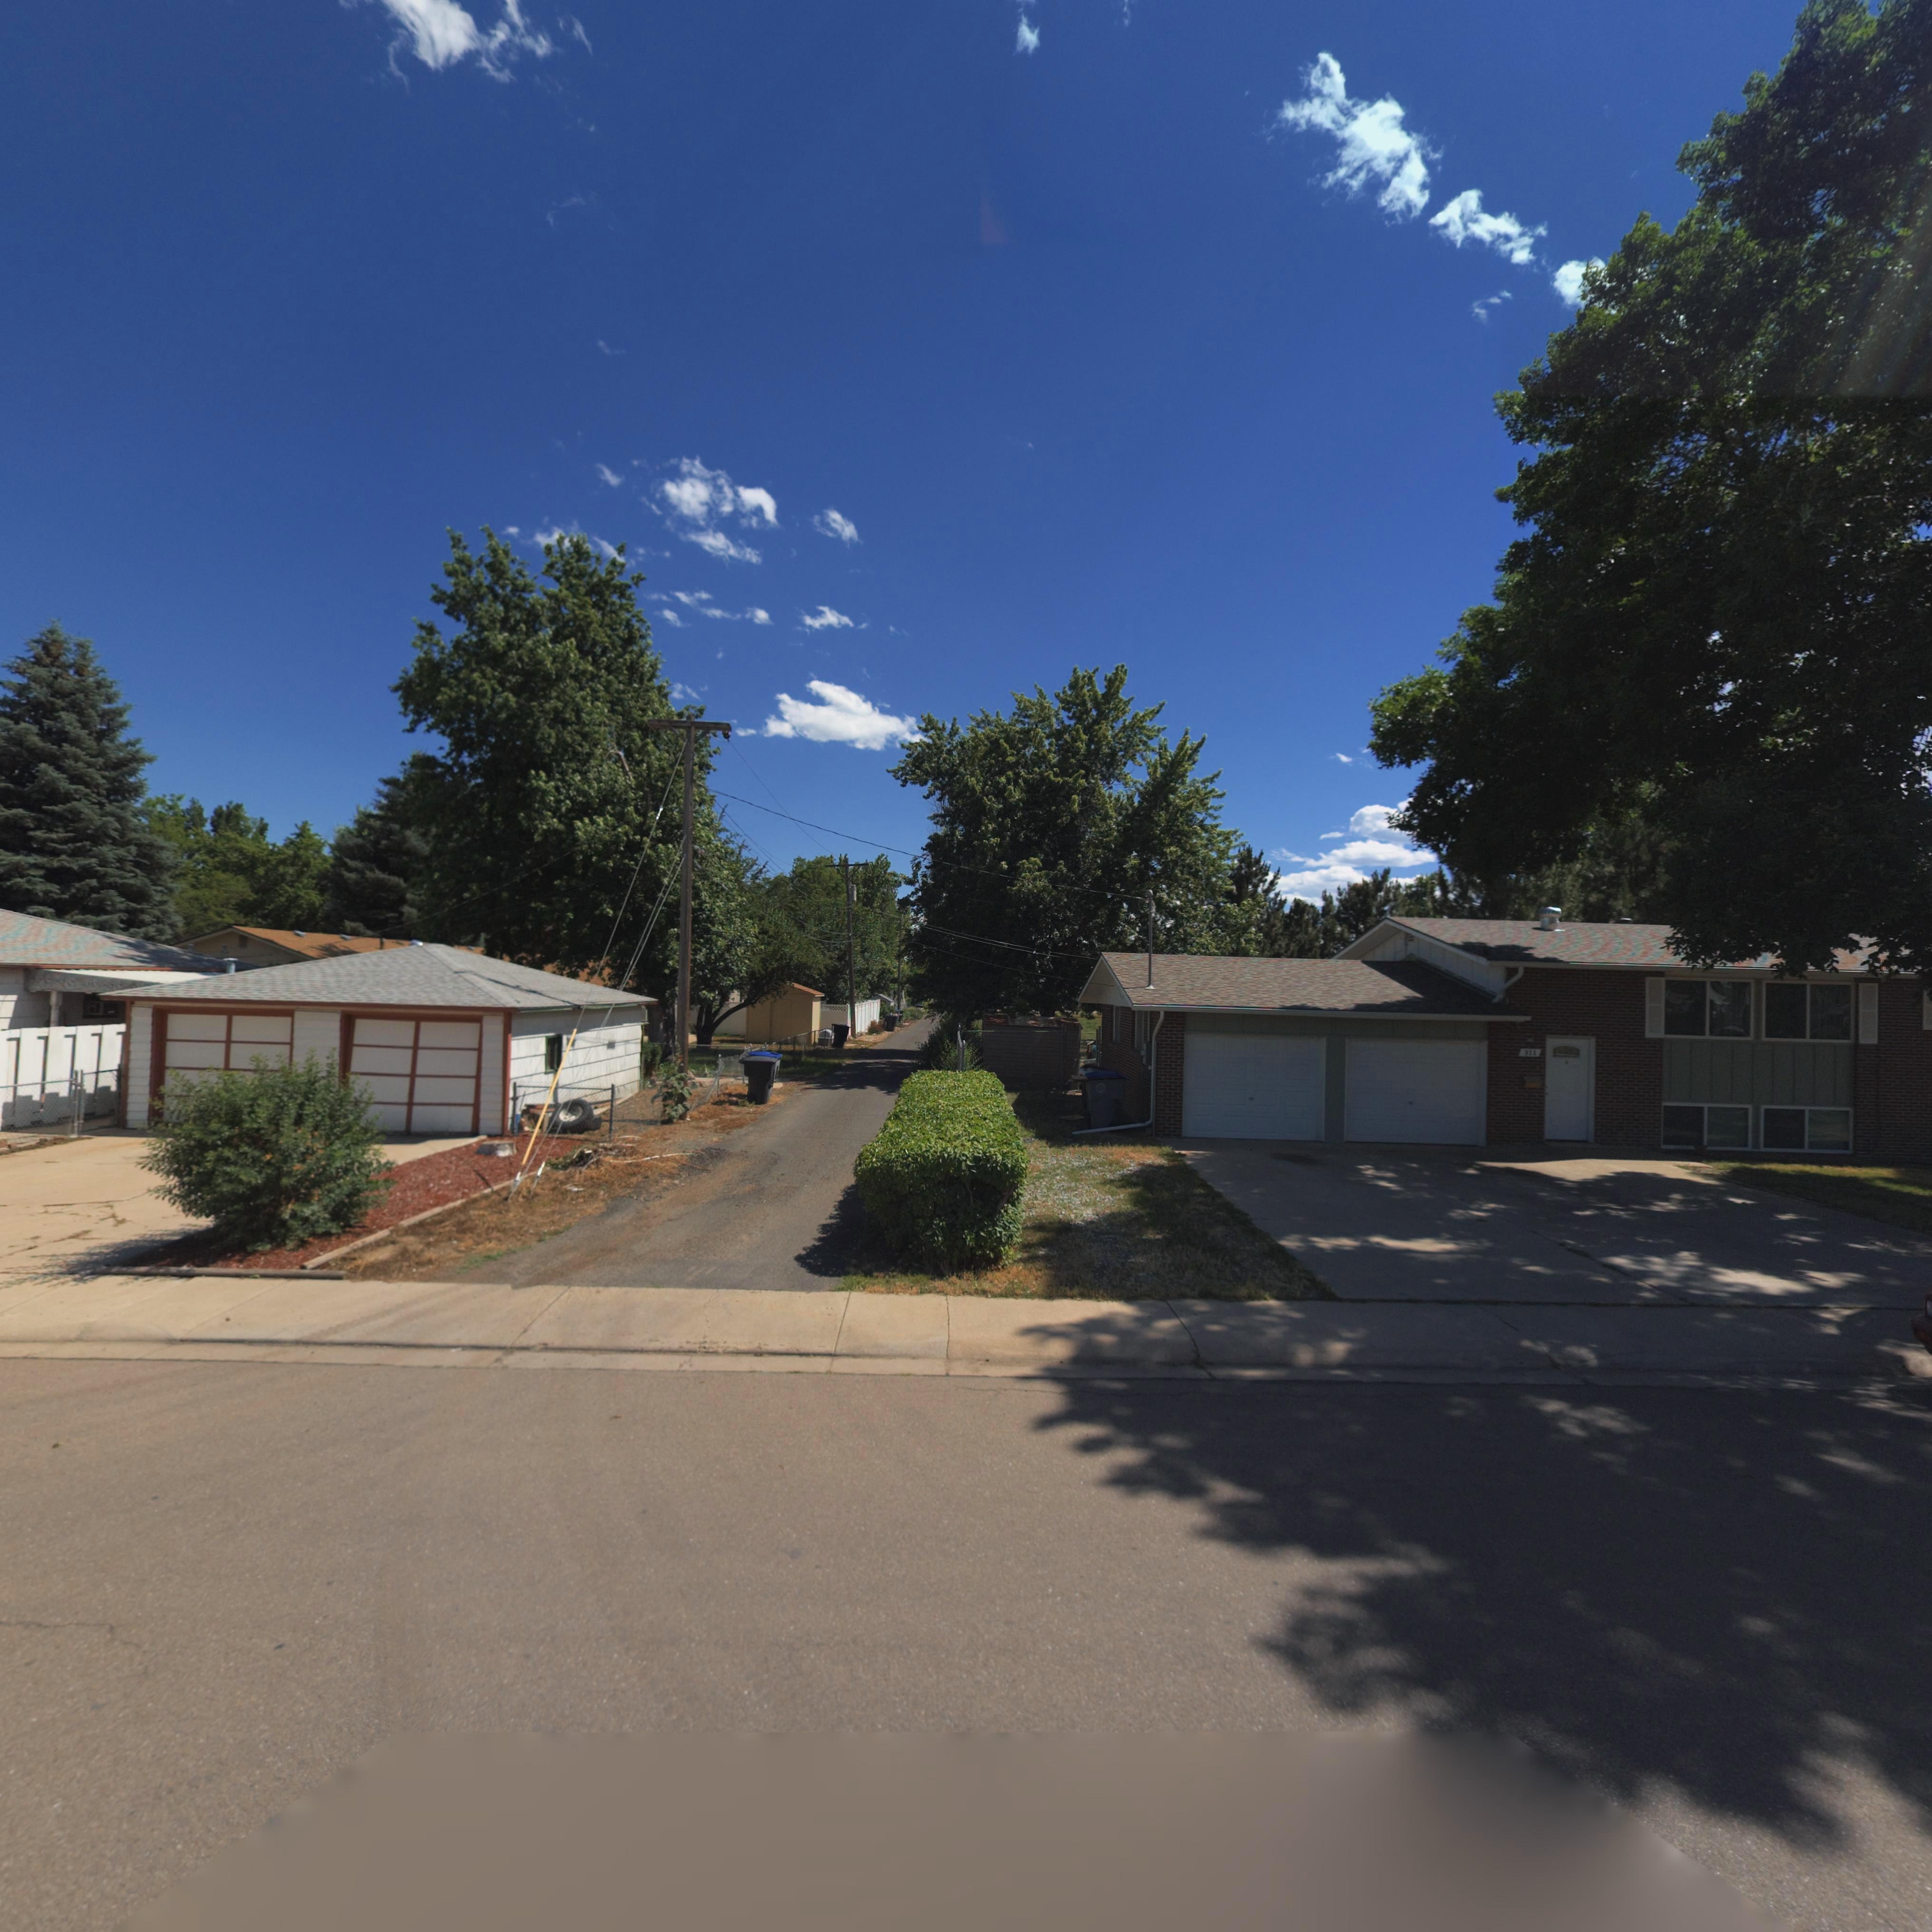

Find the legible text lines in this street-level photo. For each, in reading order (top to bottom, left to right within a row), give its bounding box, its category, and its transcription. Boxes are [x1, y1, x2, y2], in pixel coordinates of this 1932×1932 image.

[1524, 1050, 1536, 1055] StreetNumber: 311